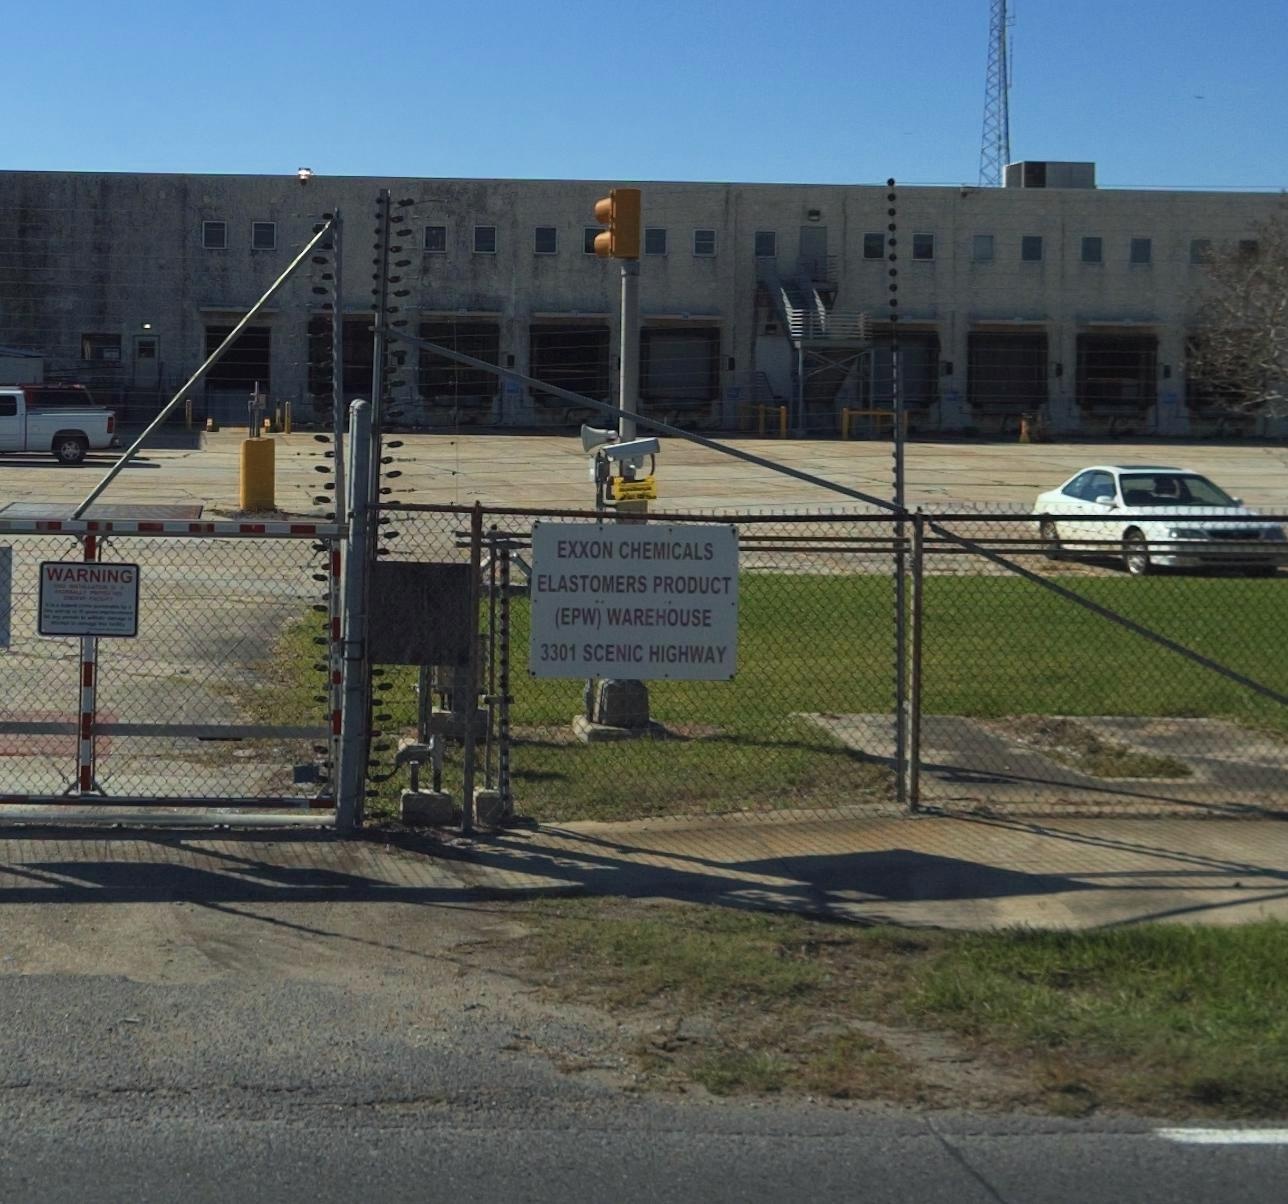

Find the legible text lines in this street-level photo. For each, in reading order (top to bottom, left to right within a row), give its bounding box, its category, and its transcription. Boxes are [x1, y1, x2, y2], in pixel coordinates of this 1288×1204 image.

[555, 537, 716, 563] BusinessName: EXXON CHEMICALS
[45, 565, 135, 586] None: WARNING
[535, 571, 735, 597] None: ELASTOMERS PRODUCT
[558, 605, 715, 629] None: EPW) WAREHOUSE
[537, 641, 578, 664] StreetNumber: 3301
[580, 642, 729, 665] StreetName: SCENIC HIGHWAY